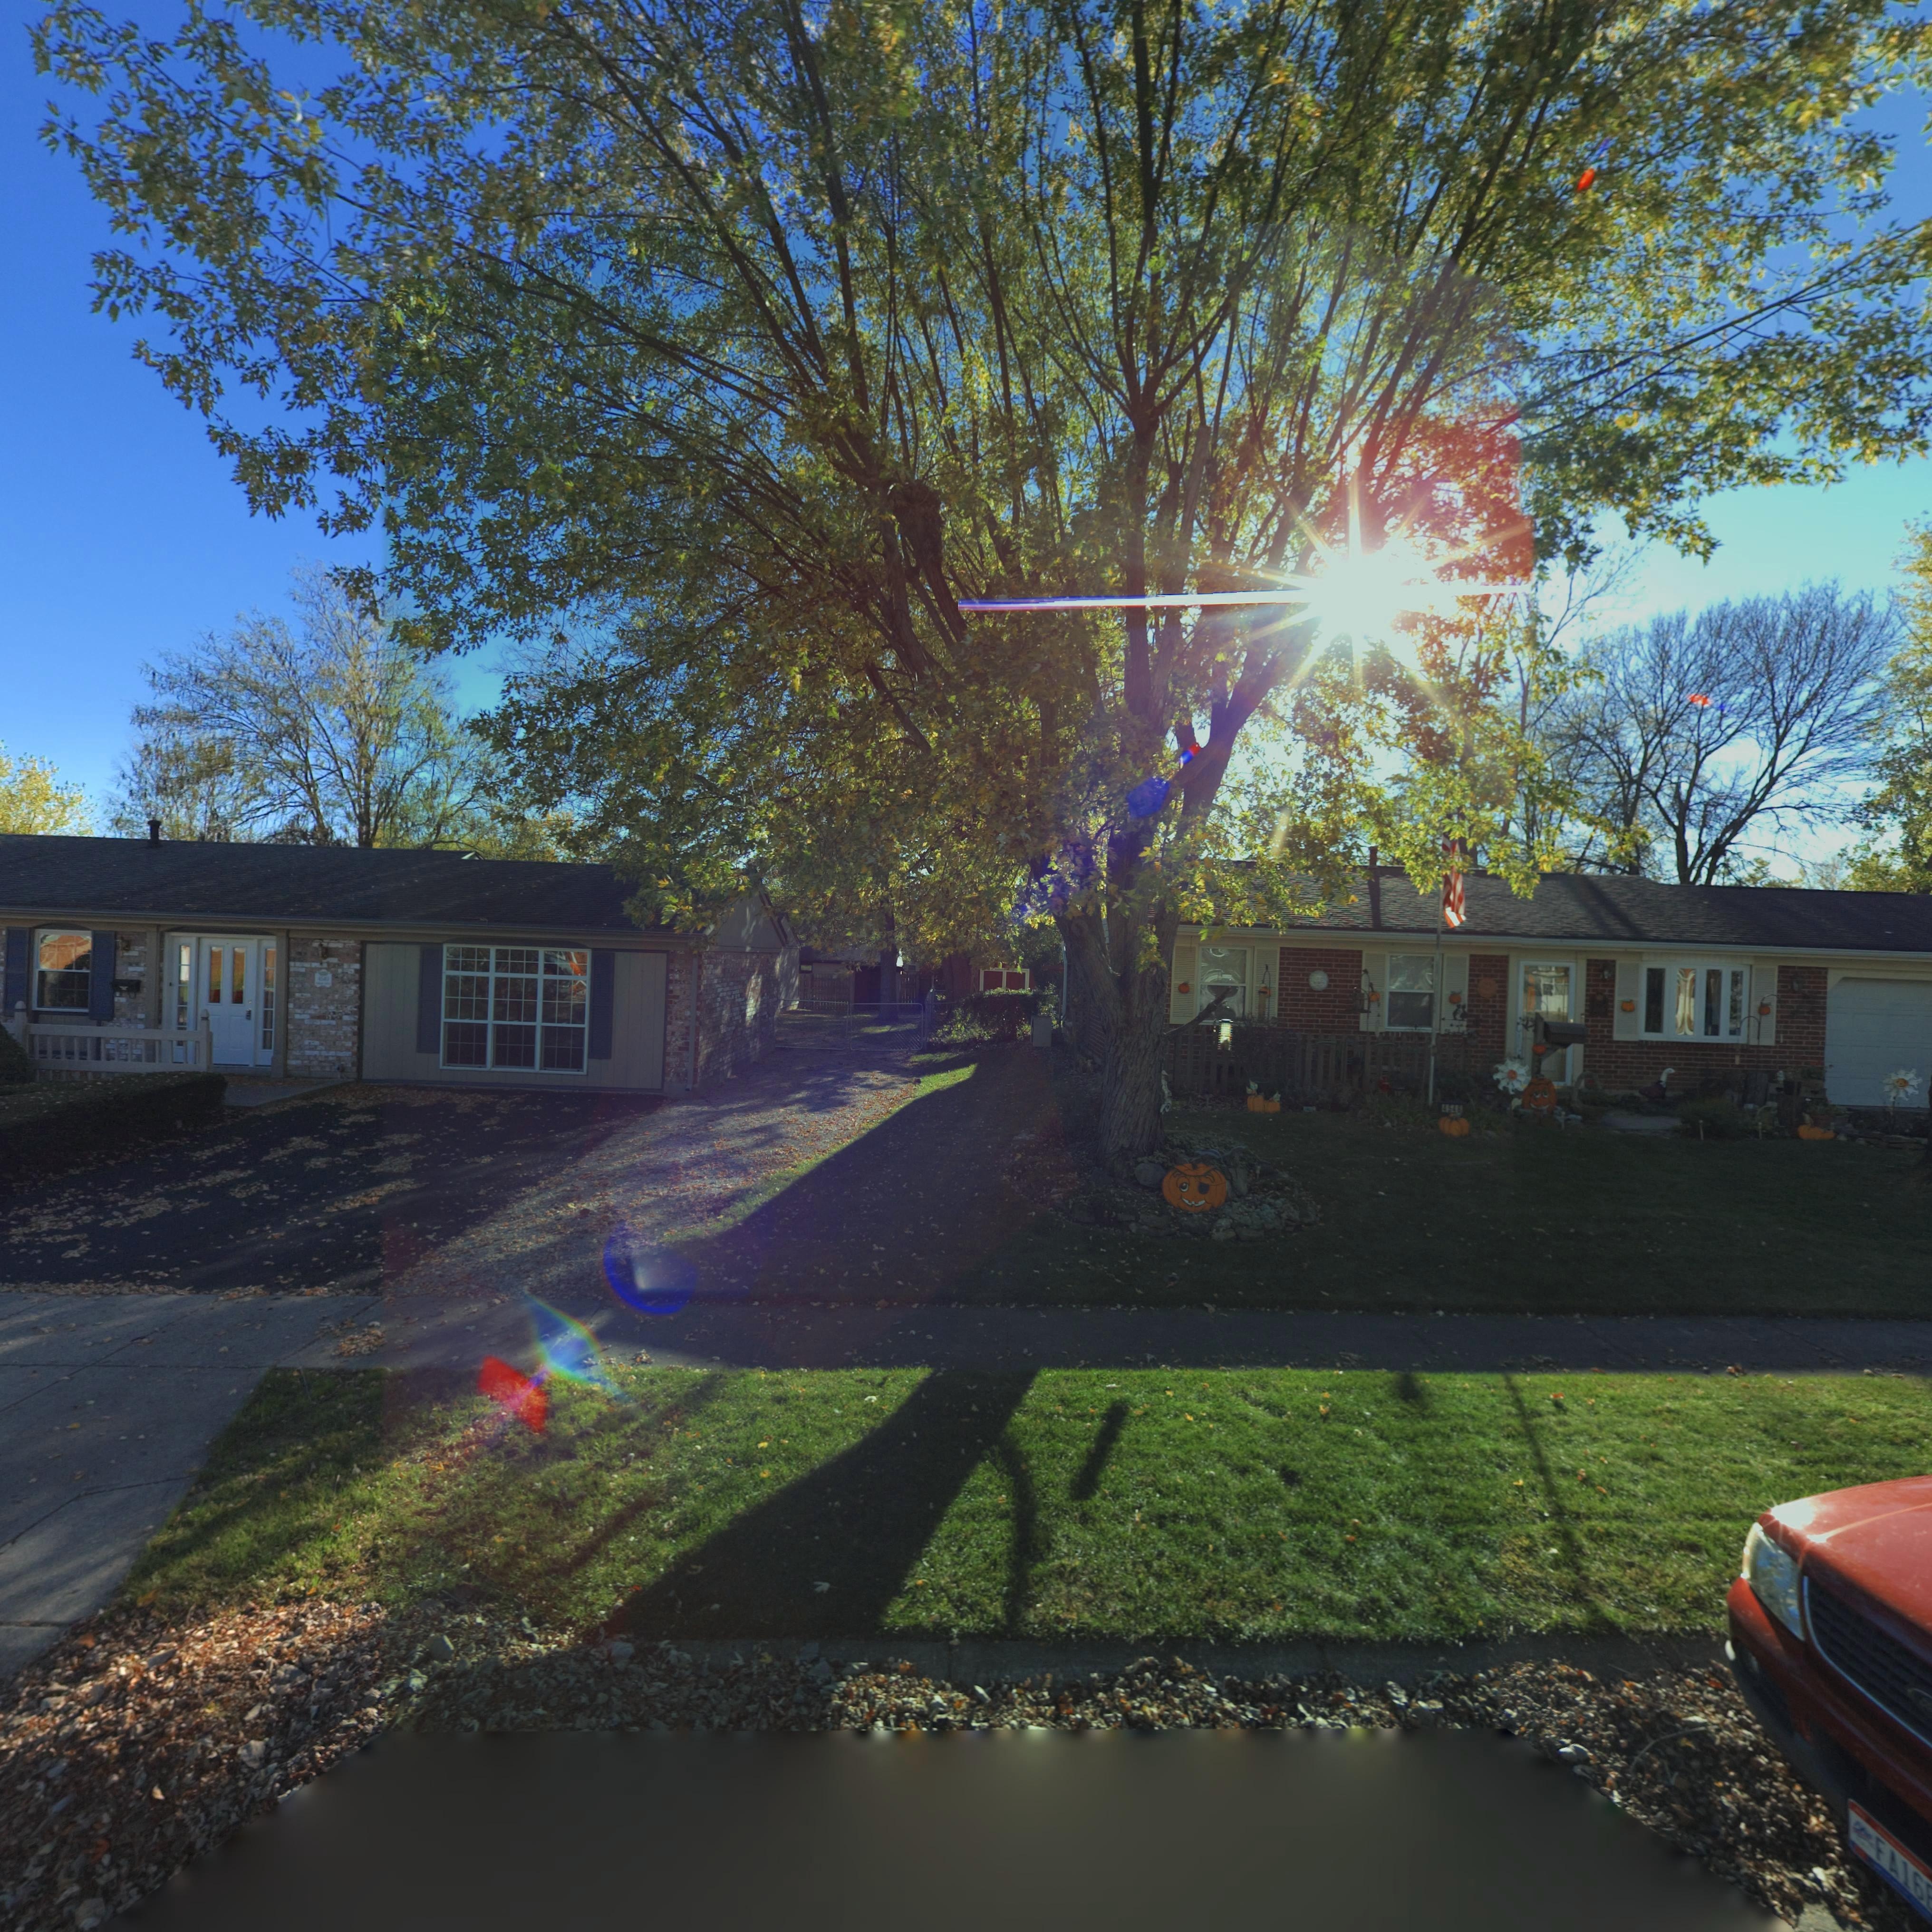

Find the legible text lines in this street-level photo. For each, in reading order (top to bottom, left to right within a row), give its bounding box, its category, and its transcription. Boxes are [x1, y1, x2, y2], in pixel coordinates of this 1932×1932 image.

[317, 975, 330, 982] StreetNumber: 4540
[1442, 1104, 1462, 1113] StreetNumber: 4548